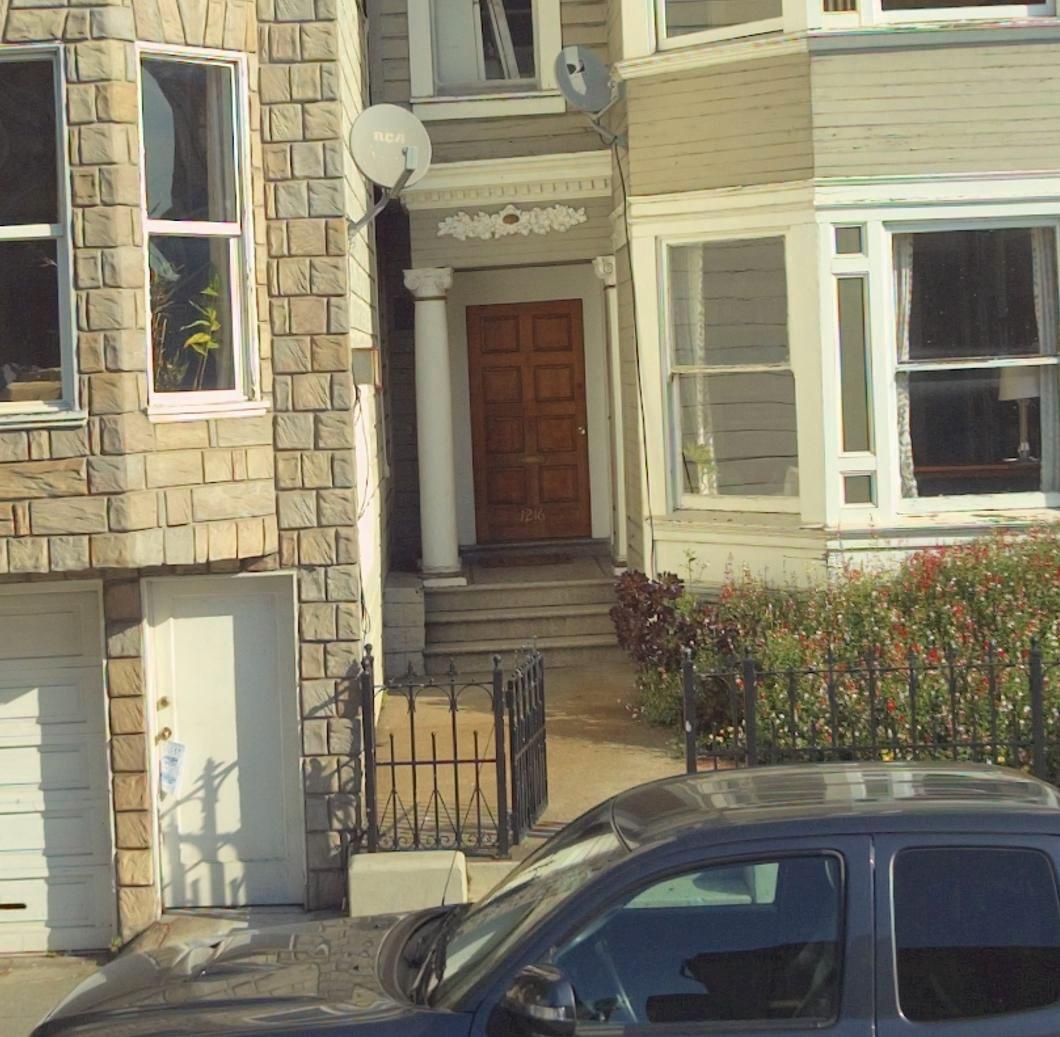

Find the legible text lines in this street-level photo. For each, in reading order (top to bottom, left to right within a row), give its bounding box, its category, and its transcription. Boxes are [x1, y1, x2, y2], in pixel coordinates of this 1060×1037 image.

[372, 130, 406, 146] BusinessName: RCA
[517, 506, 547, 523] StreetNumber: 1216